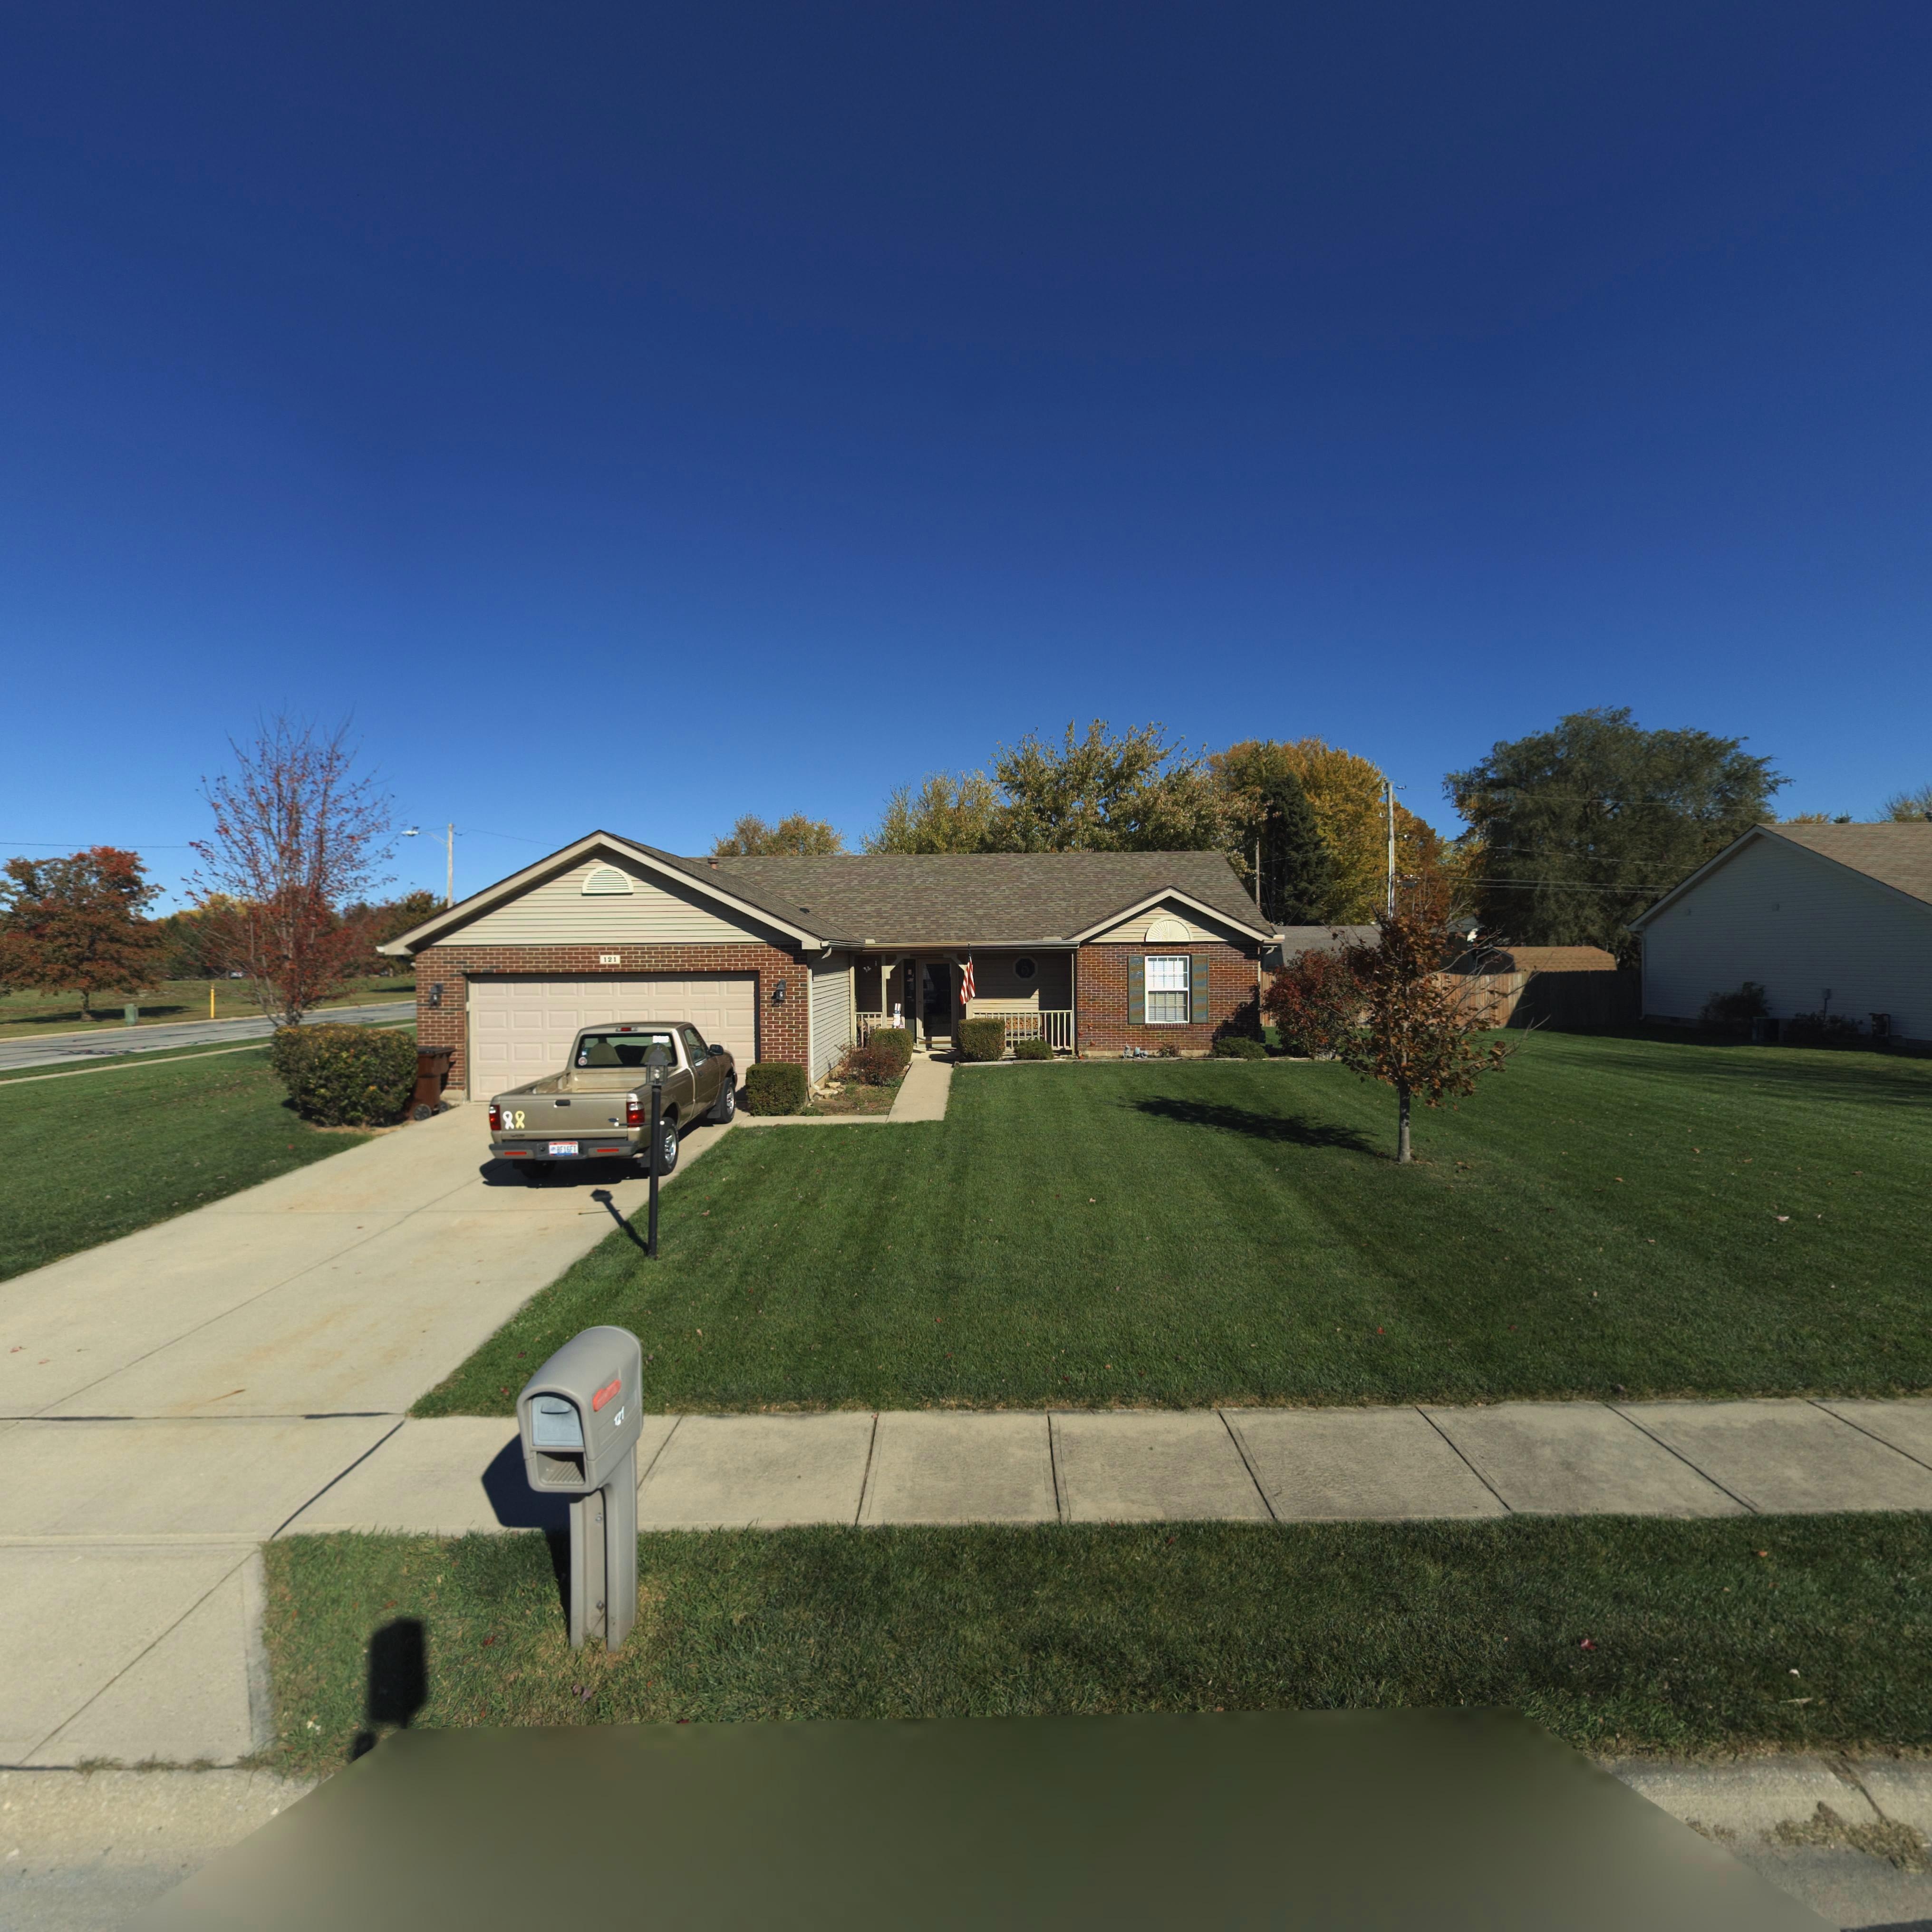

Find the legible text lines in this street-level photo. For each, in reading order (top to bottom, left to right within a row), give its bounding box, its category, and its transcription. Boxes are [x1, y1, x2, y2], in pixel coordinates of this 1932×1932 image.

[603, 956, 617, 963] StreetNumber: 121
[555, 1144, 577, 1153] None: ** 16FT
[612, 1404, 625, 1427] StreetNumber: 121